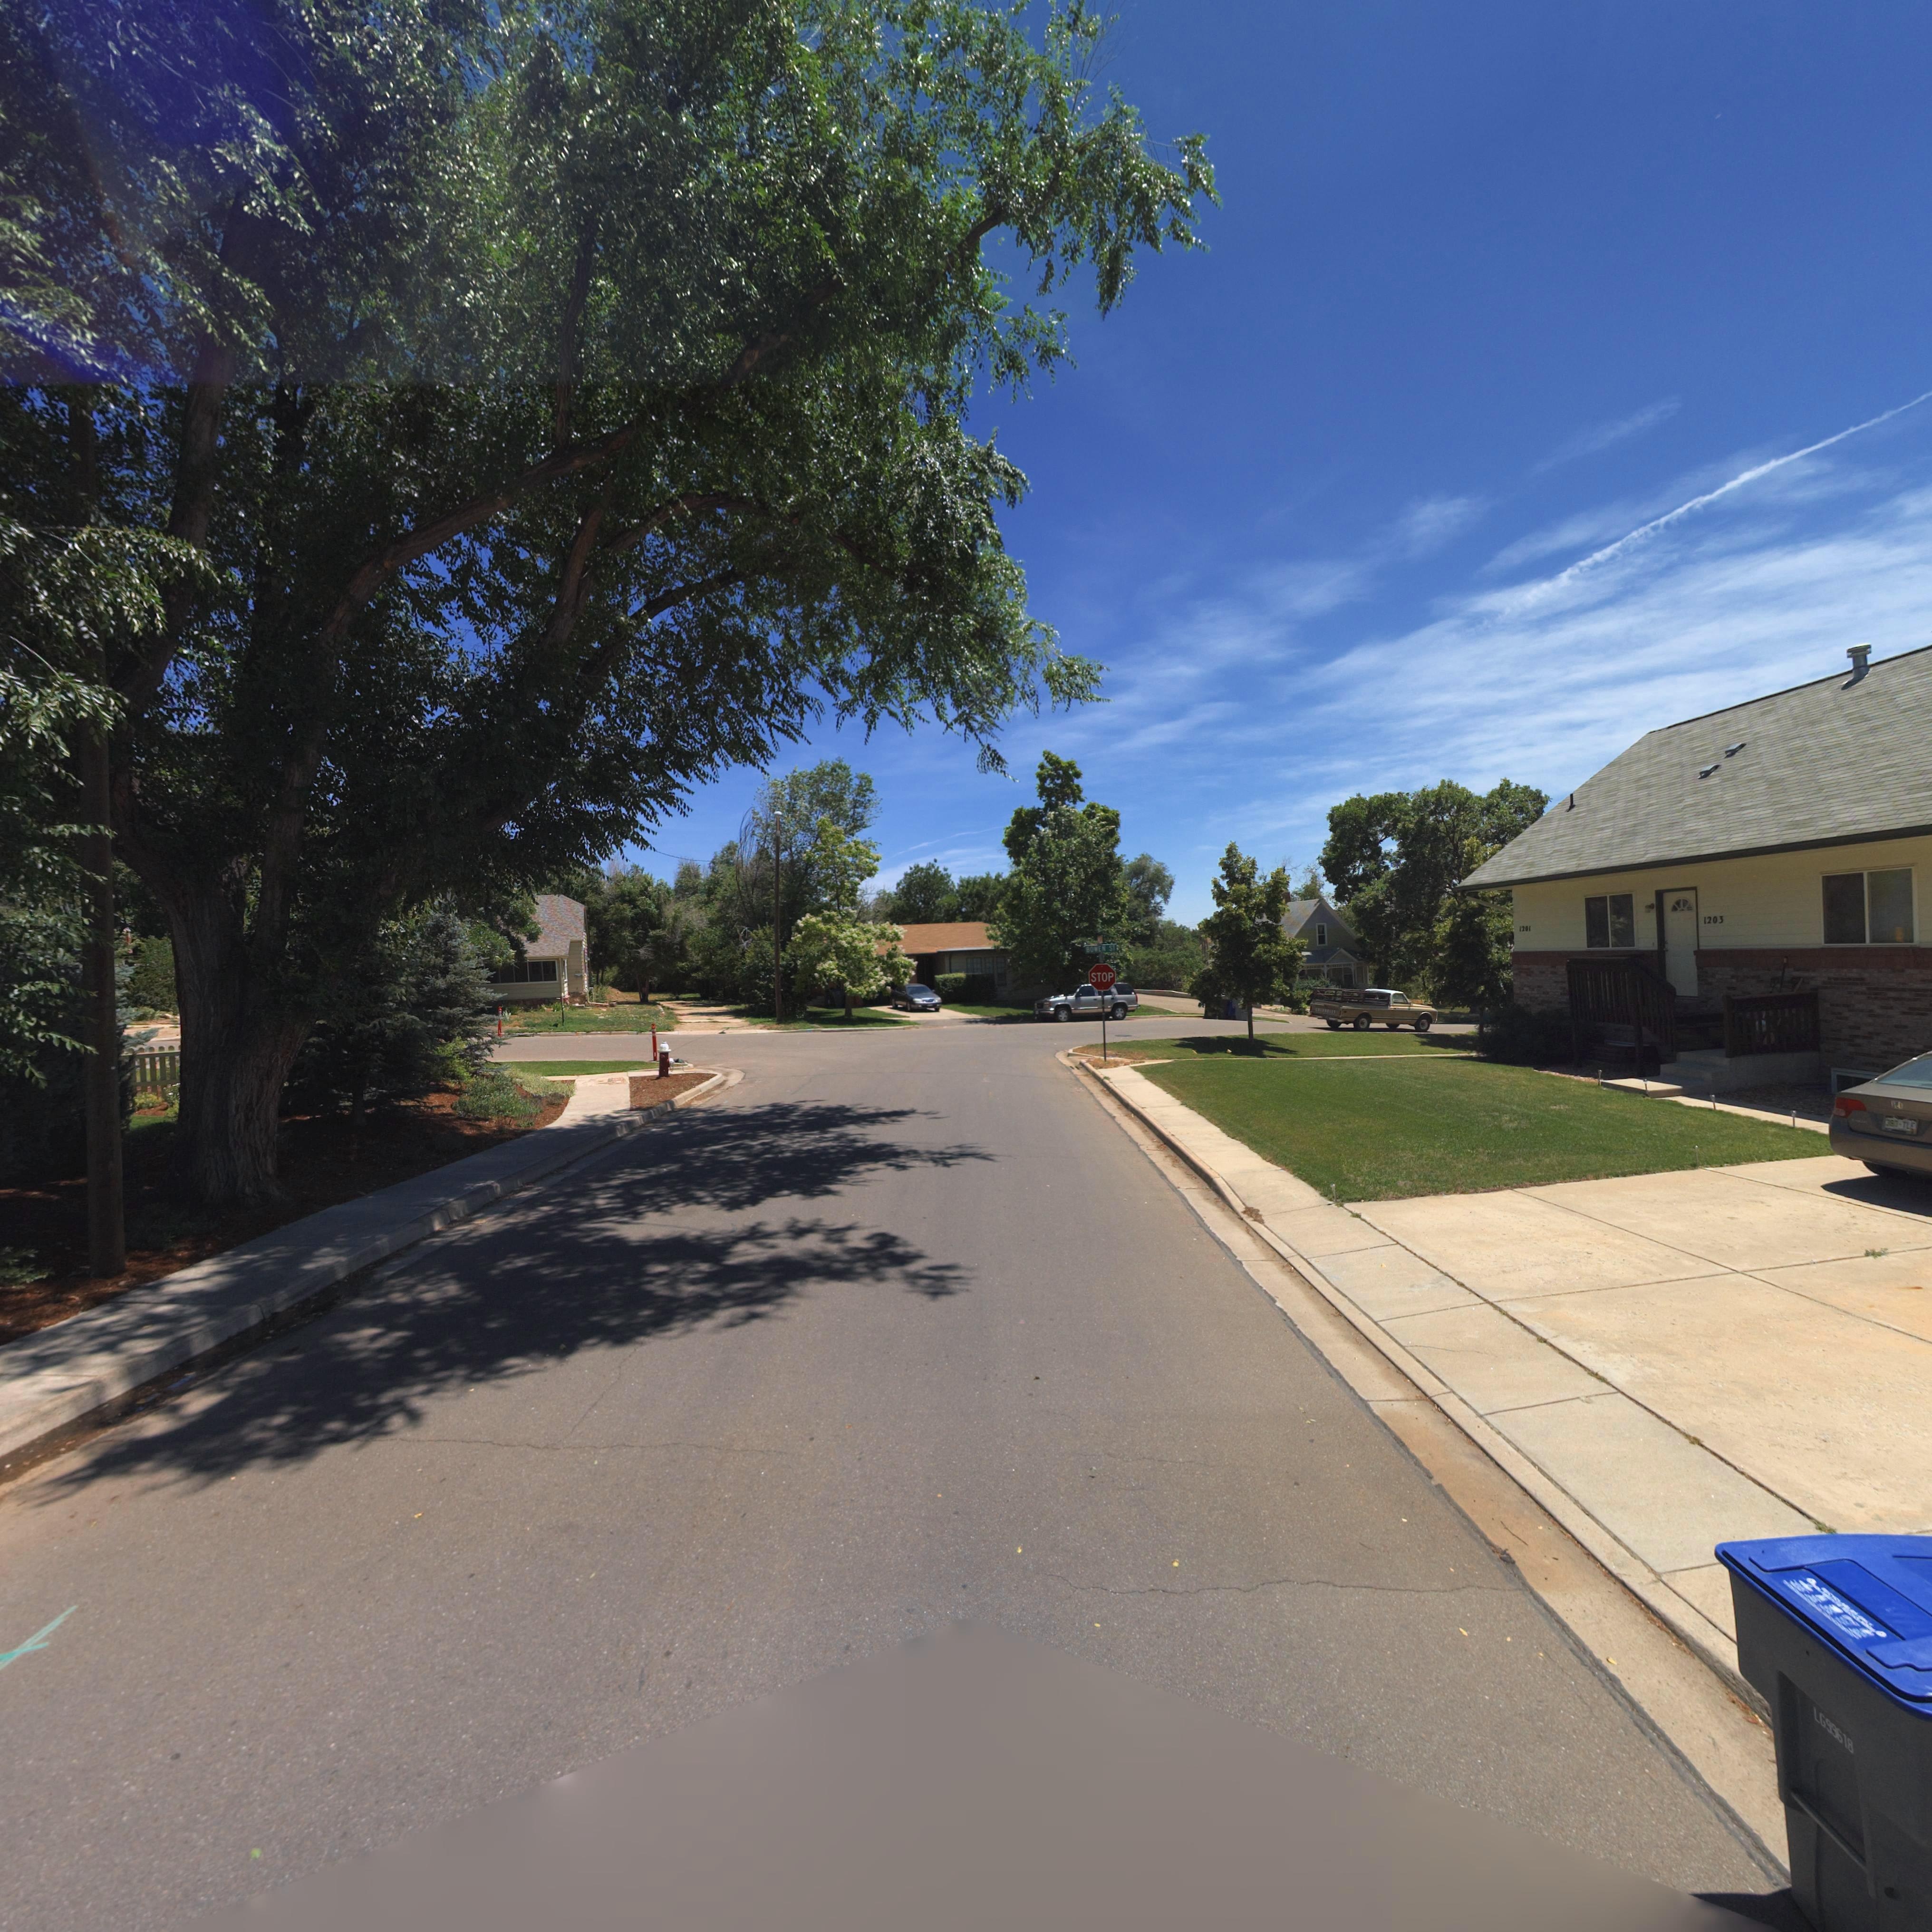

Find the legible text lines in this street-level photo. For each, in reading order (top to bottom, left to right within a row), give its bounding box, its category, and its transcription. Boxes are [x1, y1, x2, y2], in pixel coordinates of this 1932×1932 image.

[1703, 916, 1723, 924] StreetNumber: 1203
[1519, 925, 1531, 932] StreetNumber: 1201
[1086, 945, 1115, 952] StreetName: BOWEN ST